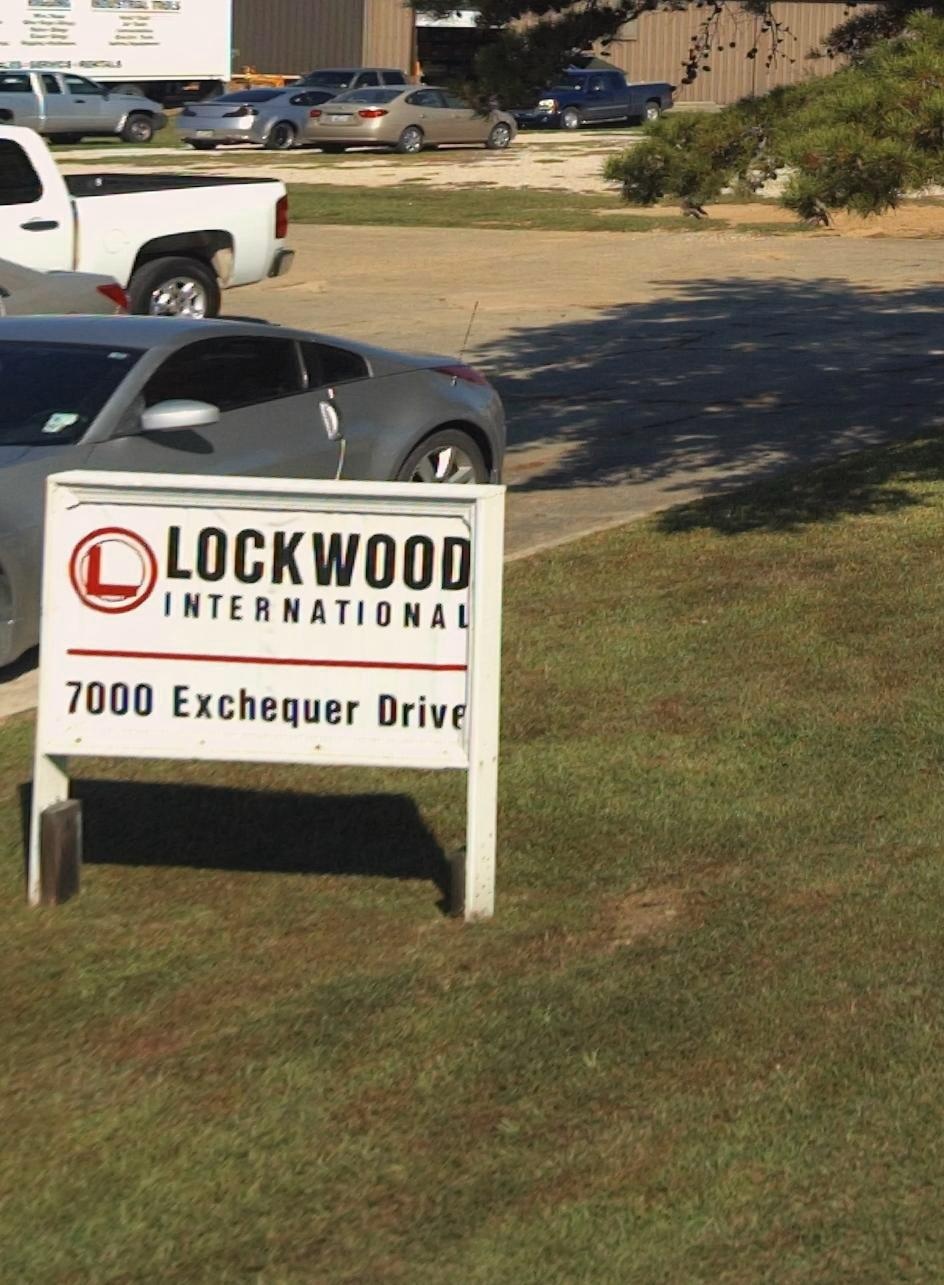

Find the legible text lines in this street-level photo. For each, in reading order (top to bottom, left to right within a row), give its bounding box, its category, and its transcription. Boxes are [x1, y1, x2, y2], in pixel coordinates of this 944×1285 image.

[82, 536, 142, 599] None: L
[163, 520, 474, 595] BusinessName: Lockwood International
[160, 587, 471, 633] BusinessName: INTERNATIONAL
[61, 677, 157, 720] StreetNumber: 7000
[168, 680, 470, 733] StreetName: Exchequer Drive